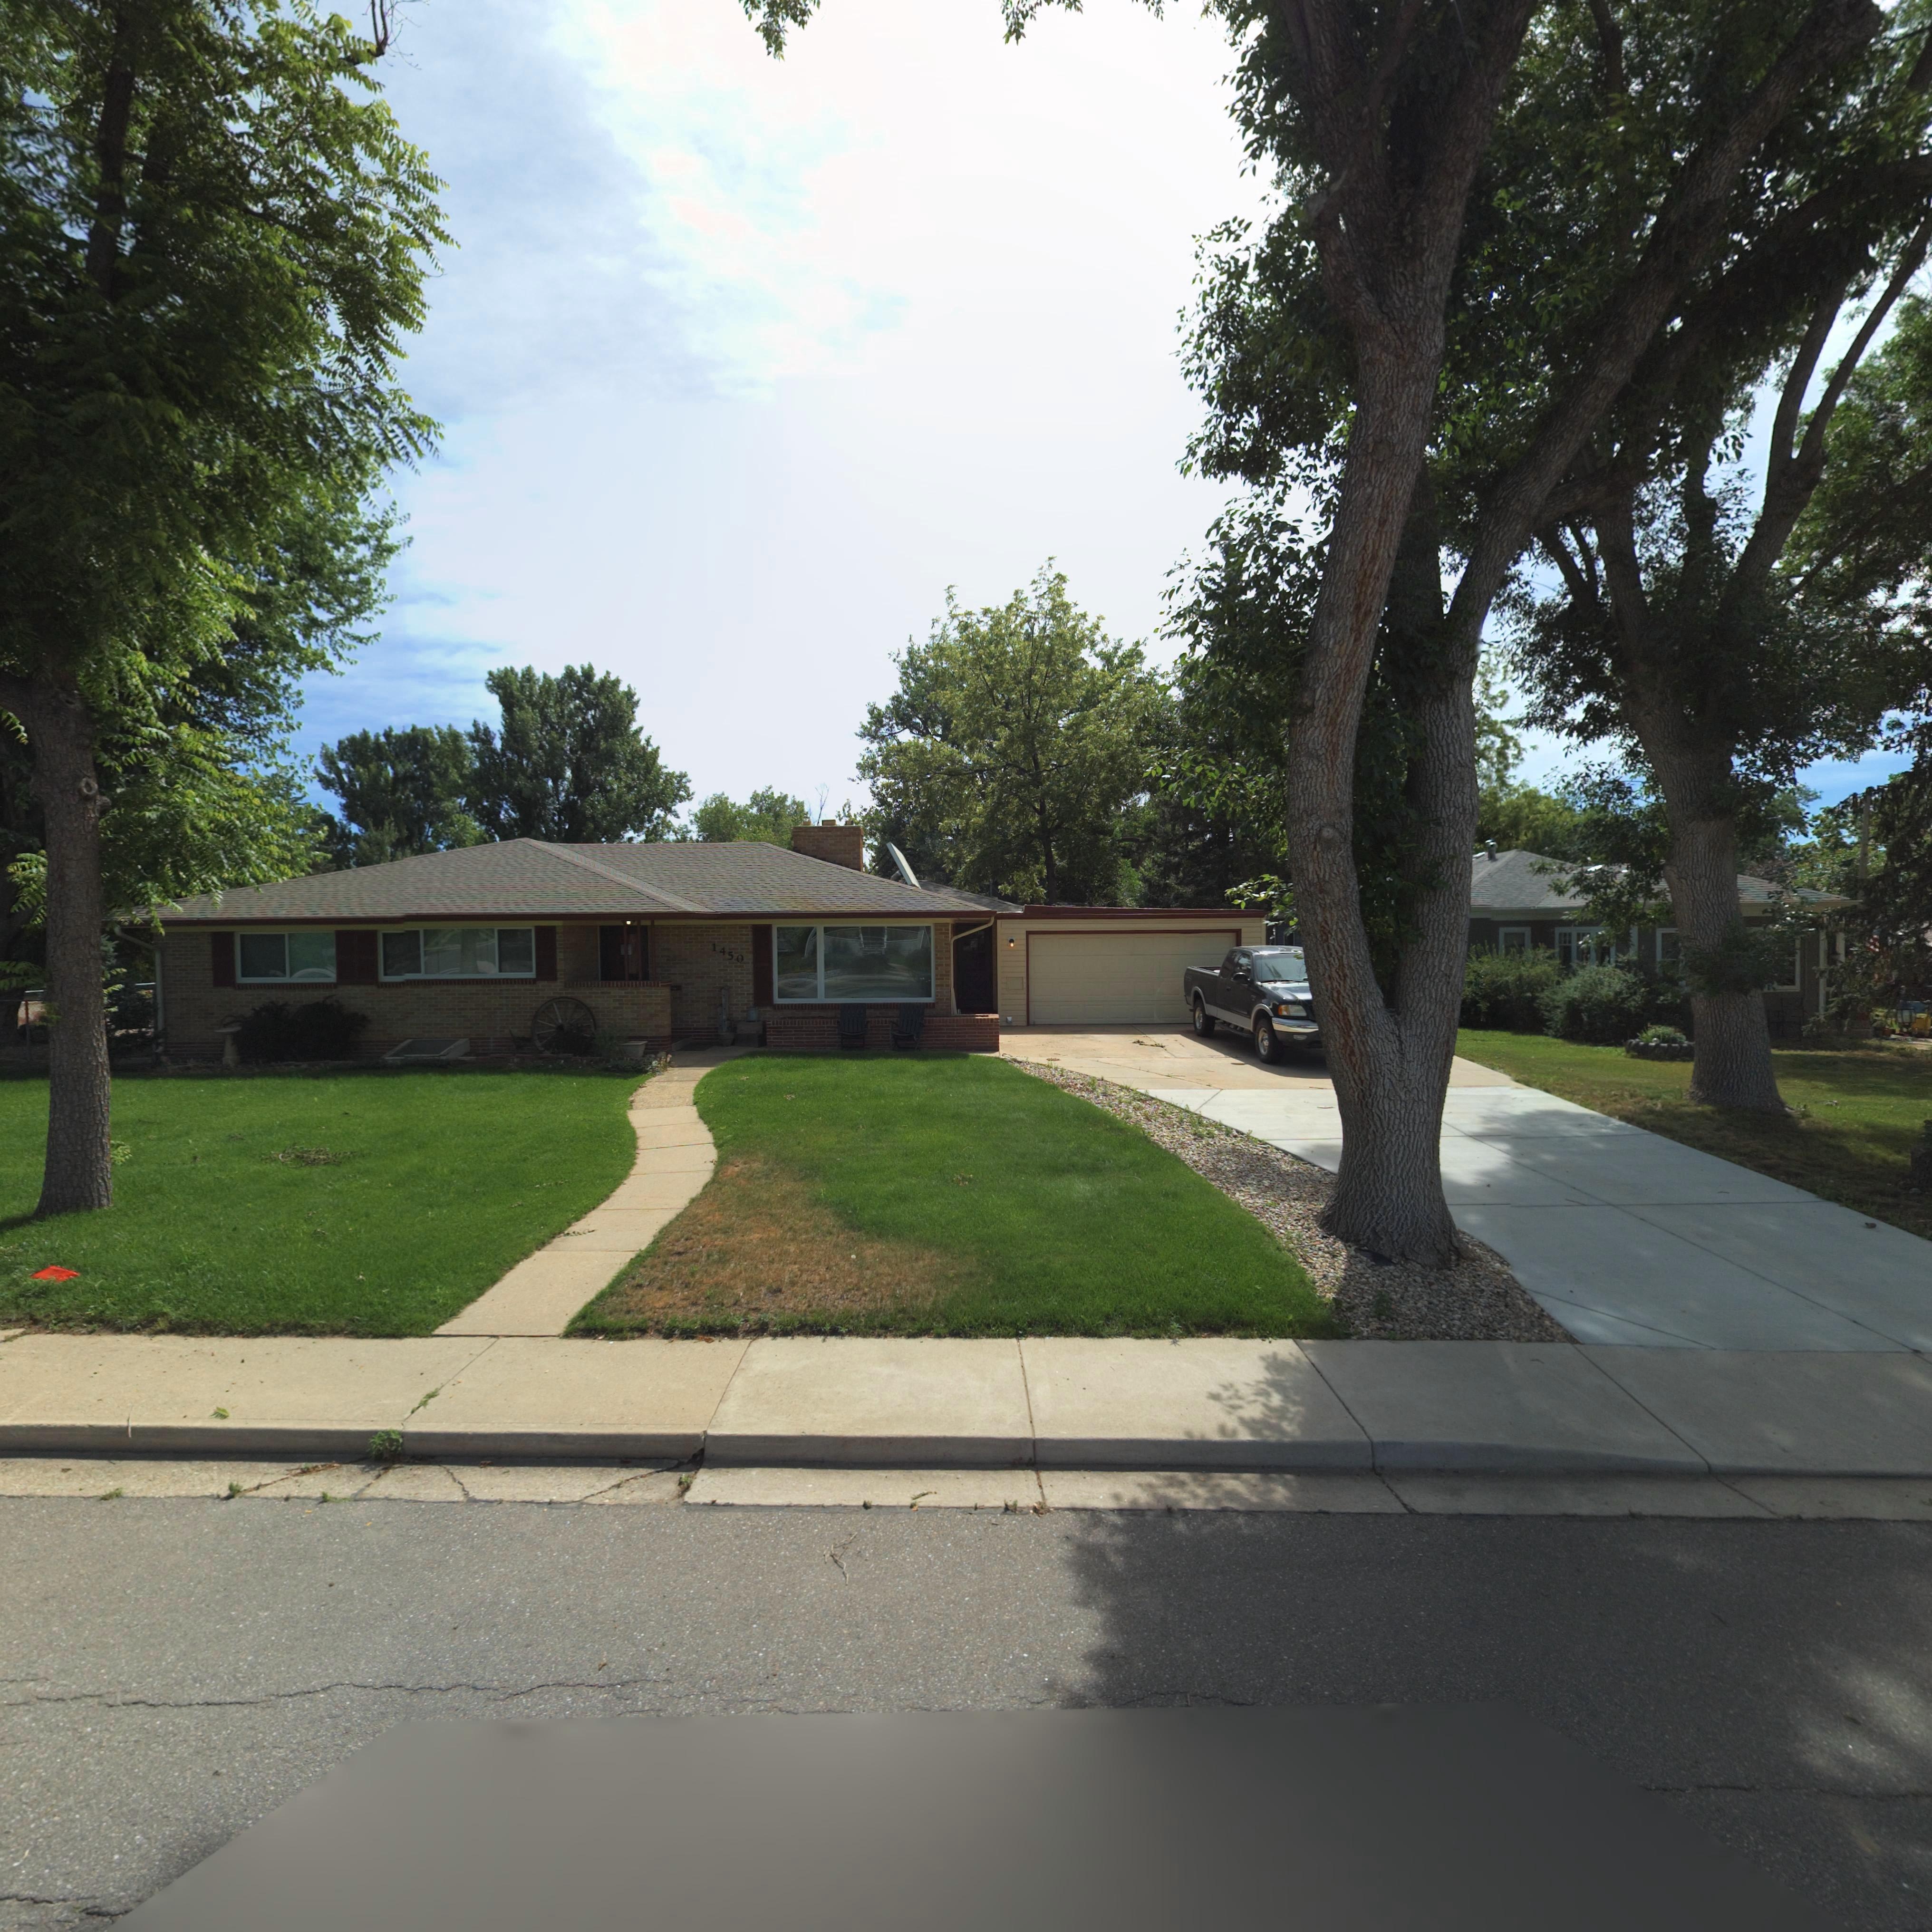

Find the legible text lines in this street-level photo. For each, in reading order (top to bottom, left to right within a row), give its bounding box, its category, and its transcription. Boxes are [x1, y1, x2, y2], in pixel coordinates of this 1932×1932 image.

[712, 942, 744, 963] StreetNumber: 1450